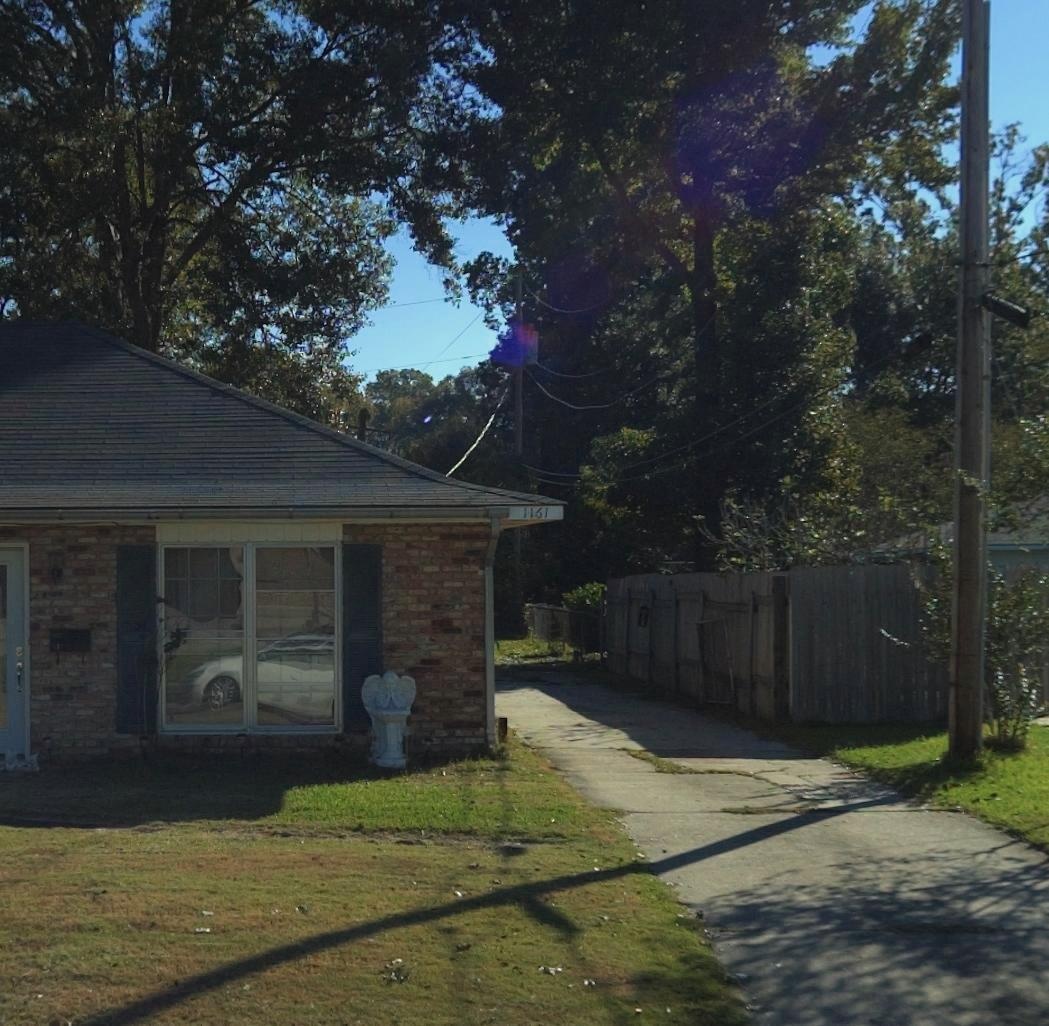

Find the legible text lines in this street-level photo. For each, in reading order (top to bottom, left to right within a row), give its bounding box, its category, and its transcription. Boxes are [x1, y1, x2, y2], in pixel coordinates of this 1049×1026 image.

[521, 505, 550, 521] StreetNumber: 1161